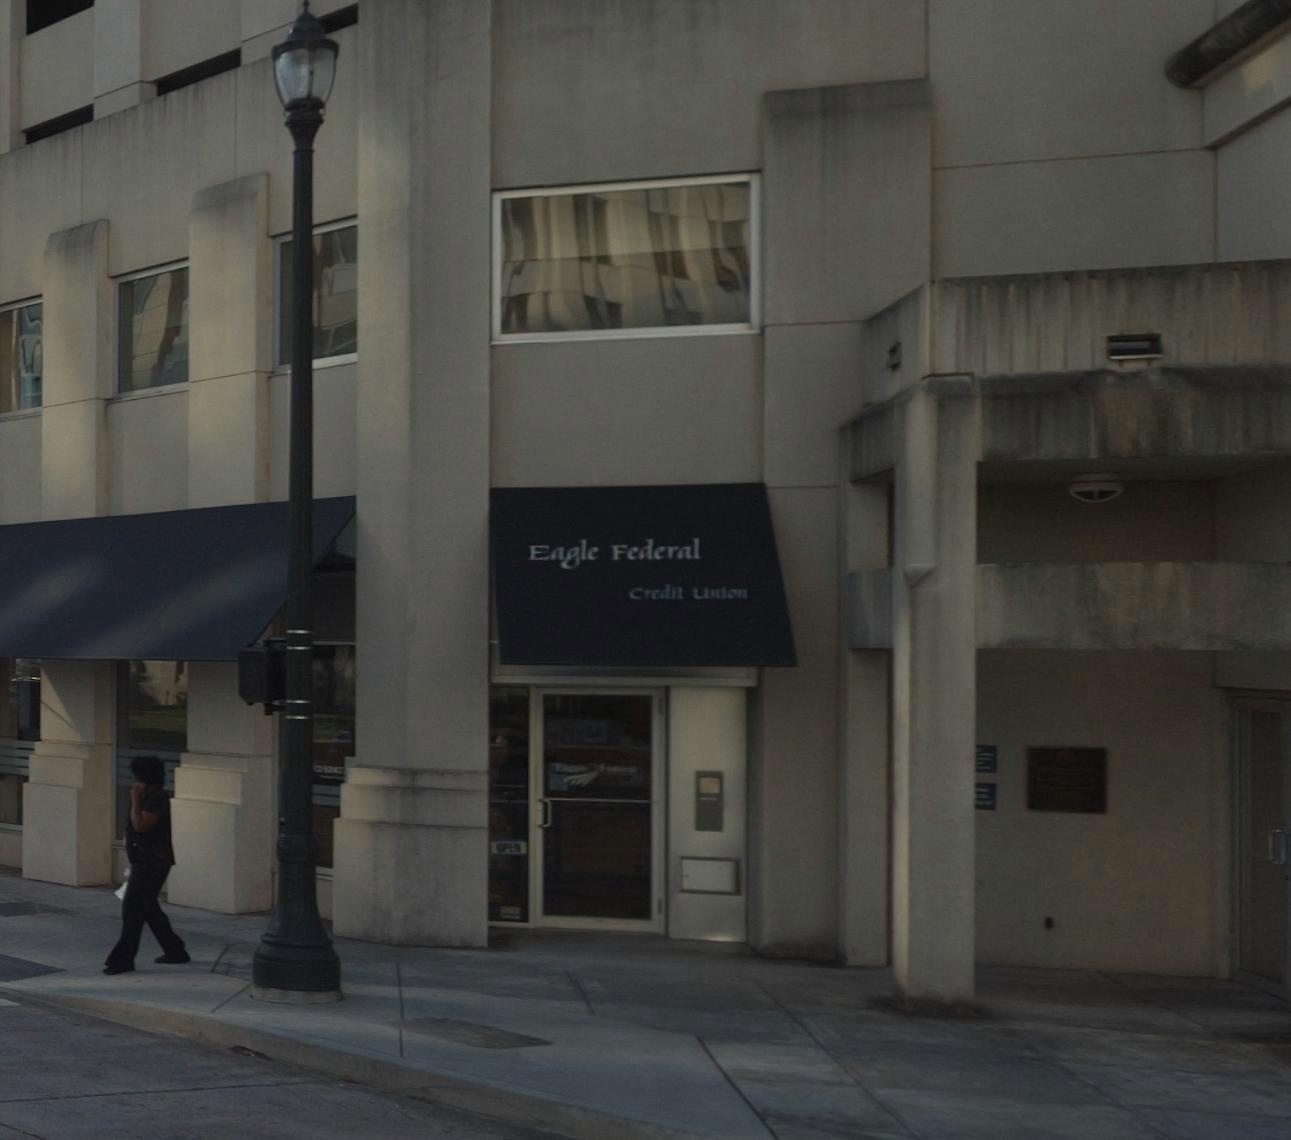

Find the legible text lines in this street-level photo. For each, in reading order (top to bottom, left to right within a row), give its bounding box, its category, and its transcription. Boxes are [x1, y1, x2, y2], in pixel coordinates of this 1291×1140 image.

[526, 535, 703, 572] BusinessName: Eagle Federal
[626, 581, 751, 602] BusinessName: Credit Union
[495, 841, 523, 855] None: OPEN